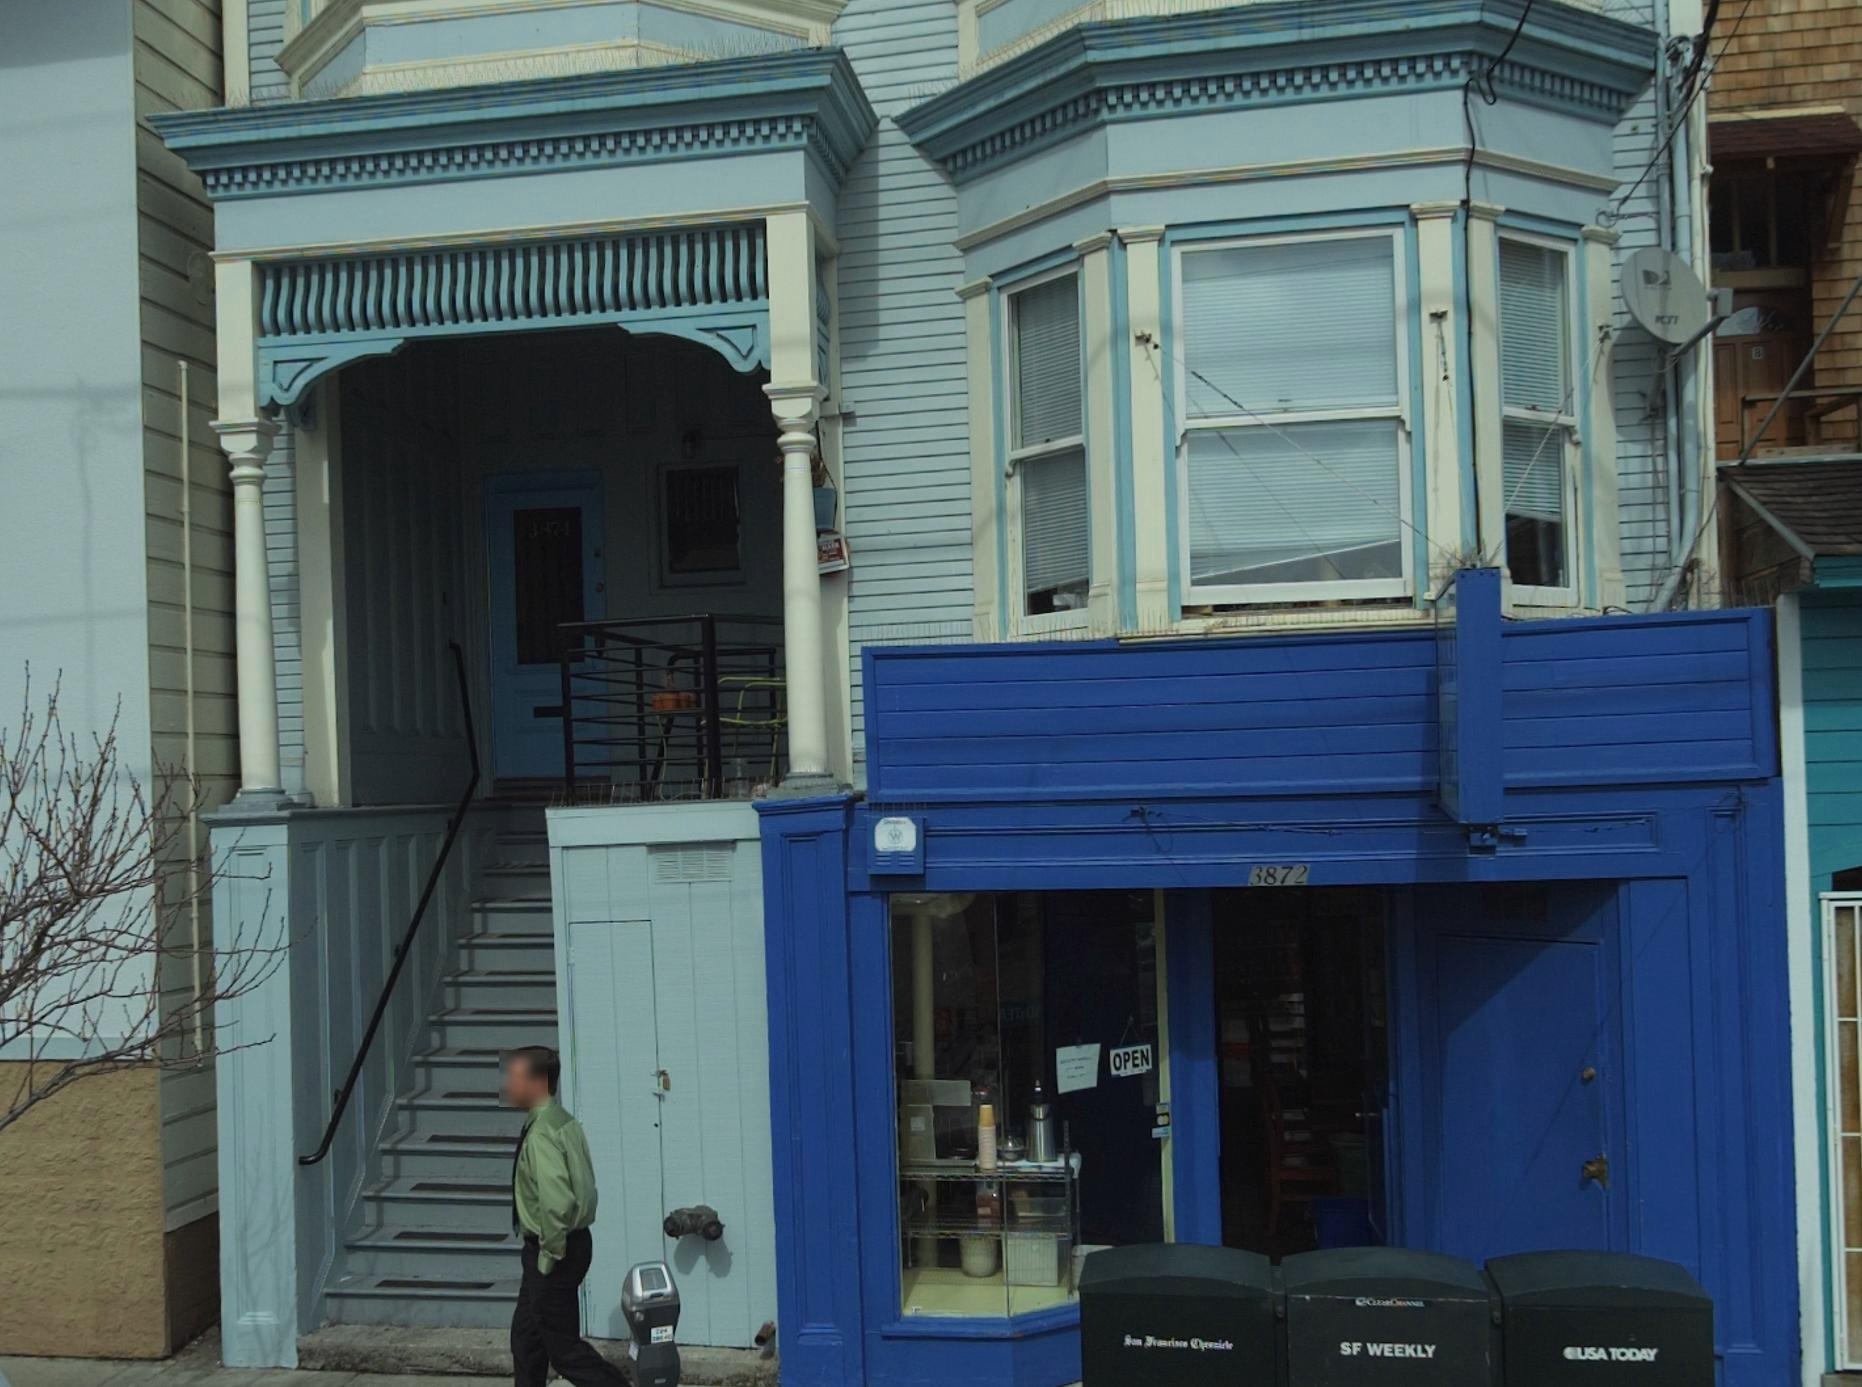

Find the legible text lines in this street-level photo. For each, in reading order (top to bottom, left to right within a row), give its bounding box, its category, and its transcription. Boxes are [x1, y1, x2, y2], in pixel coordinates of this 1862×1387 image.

[1652, 312, 1682, 327] None: KTI
[1752, 347, 1763, 359] SecondaryUnitDesignator: B
[527, 519, 571, 540] StreetNumber: 3874
[1247, 865, 1311, 887] StreetNumber: 3872
[1110, 1046, 1151, 1074] None: OPEN
[1365, 1296, 1427, 1308] None: ClearChannel
[1121, 1331, 1234, 1352] None: San Francisco Chronicle
[1337, 1339, 1439, 1360] None: SF WEEKLY
[1574, 1345, 1660, 1363] None: USA TODAY